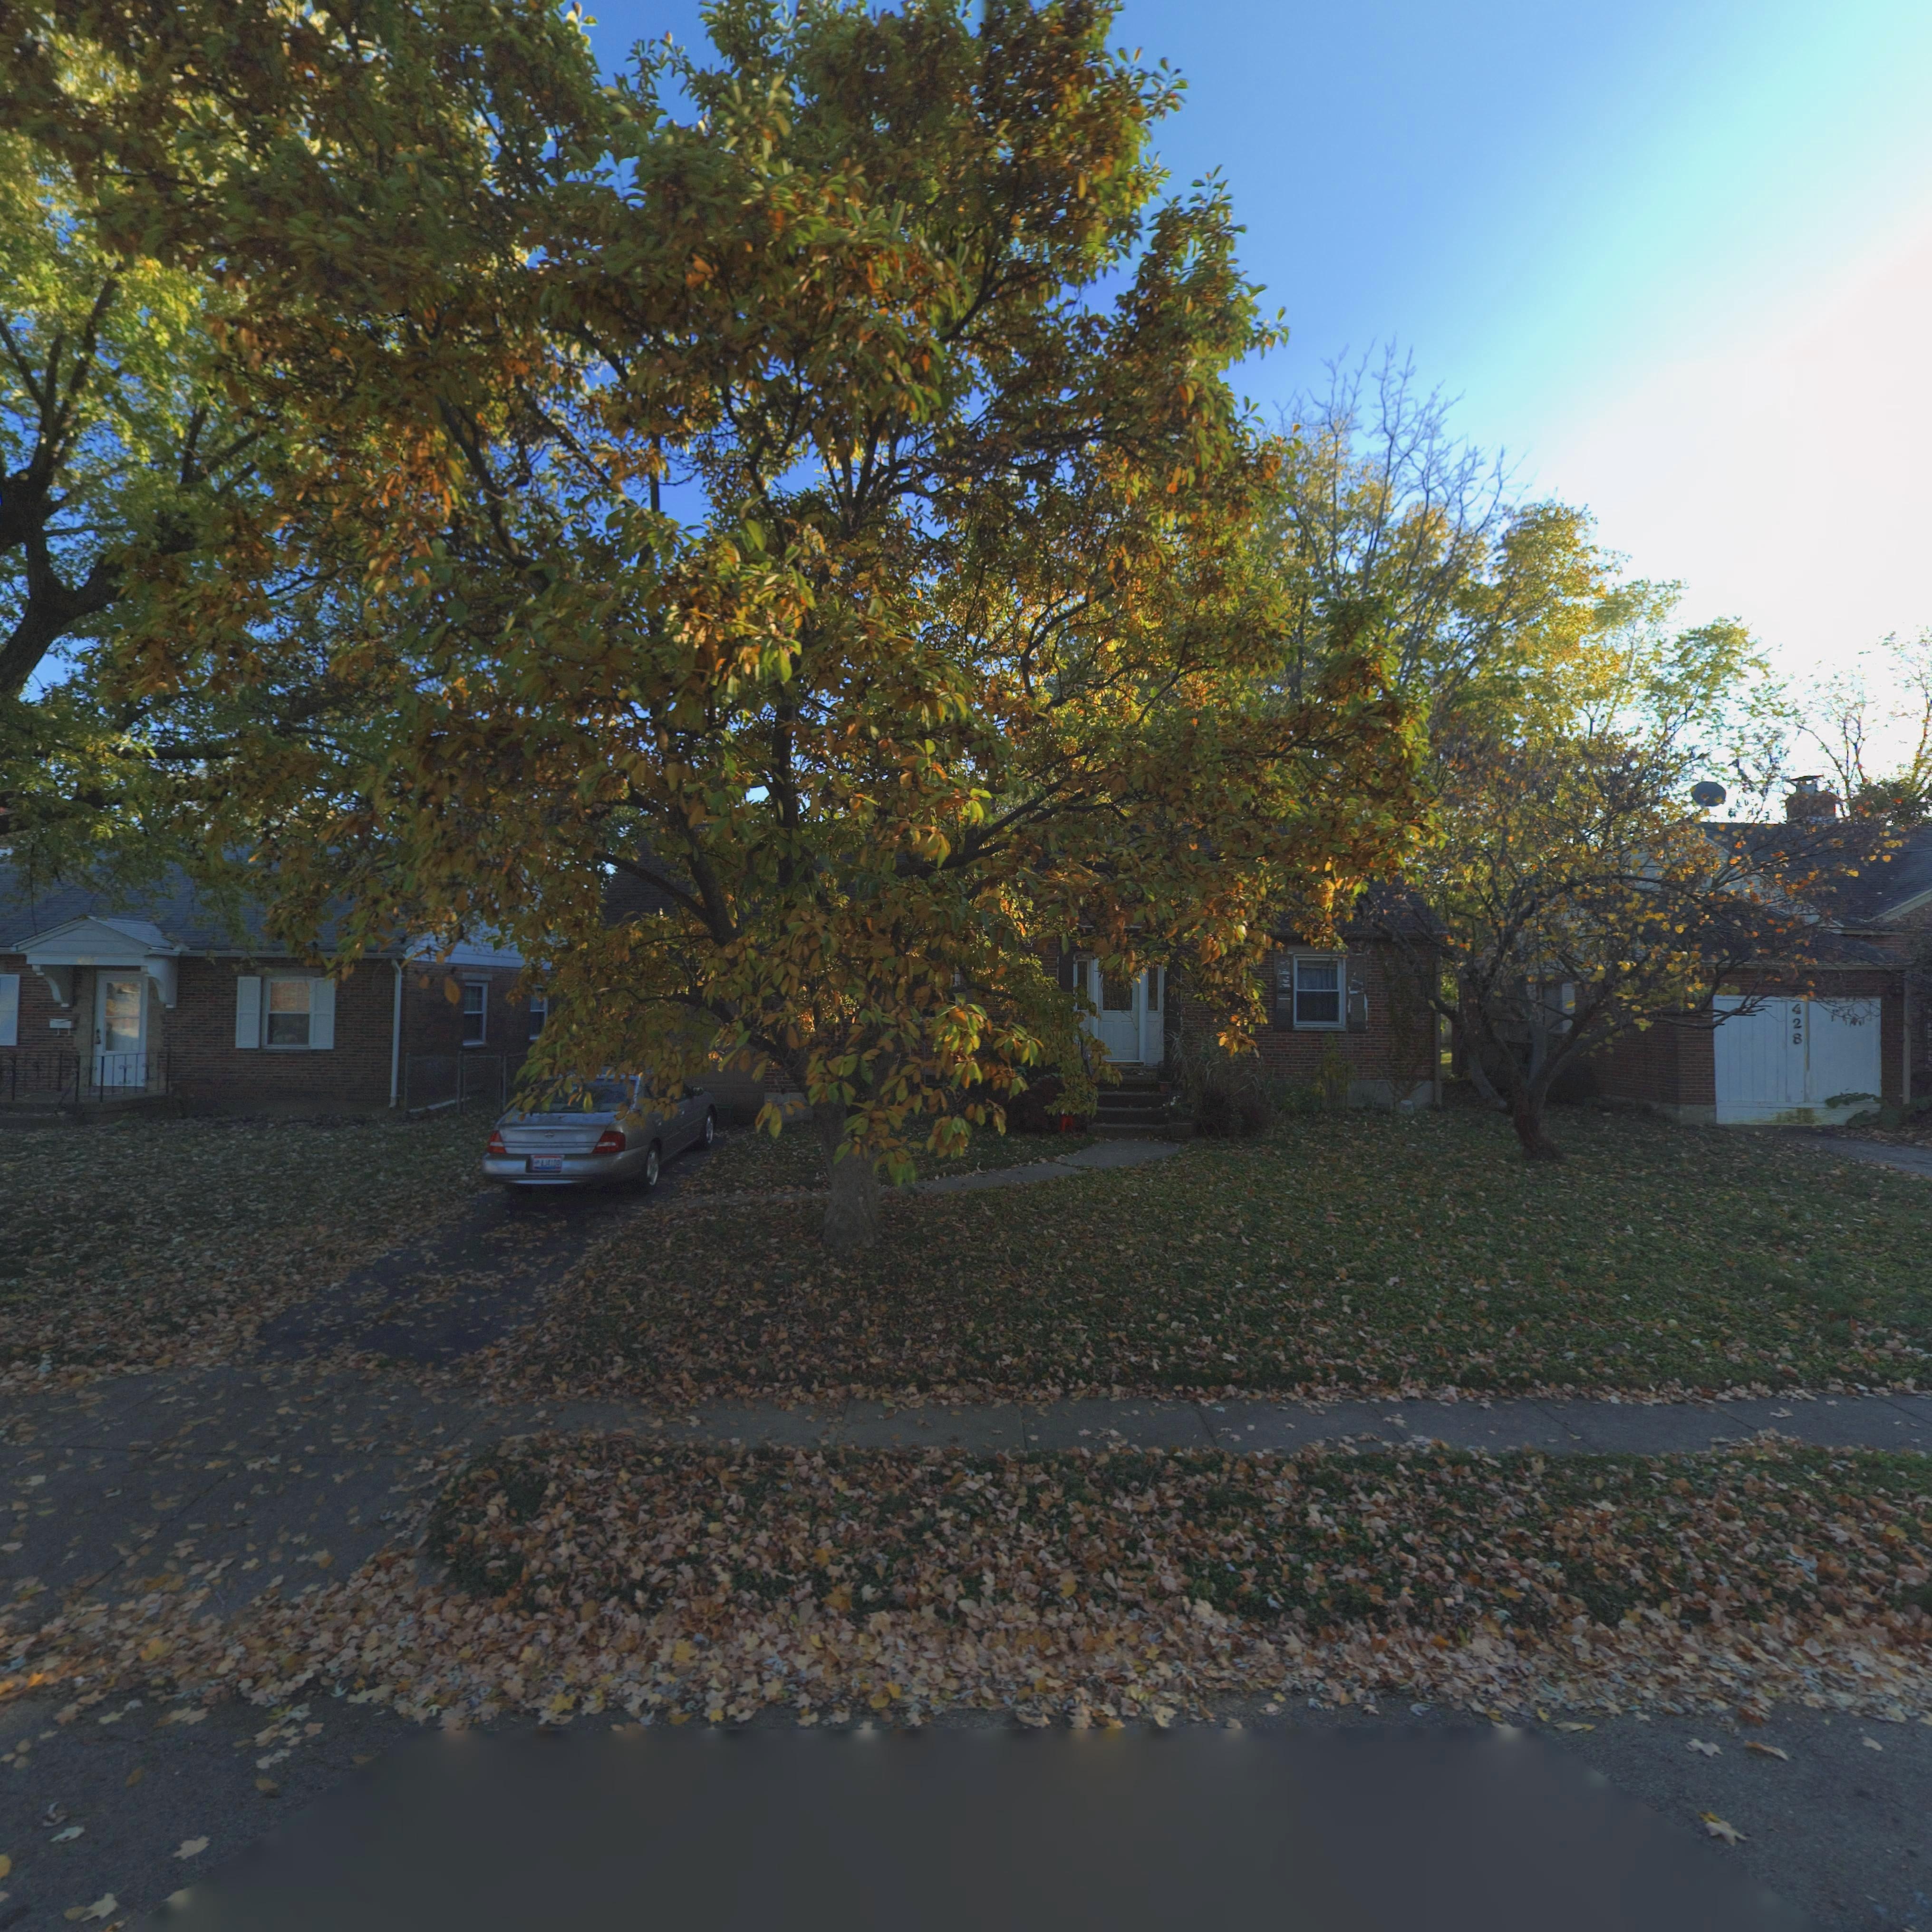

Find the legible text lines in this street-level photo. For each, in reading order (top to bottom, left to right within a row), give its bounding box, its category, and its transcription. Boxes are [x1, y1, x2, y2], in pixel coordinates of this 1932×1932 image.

[1790, 1001, 1804, 1046] StreetNumber: 428